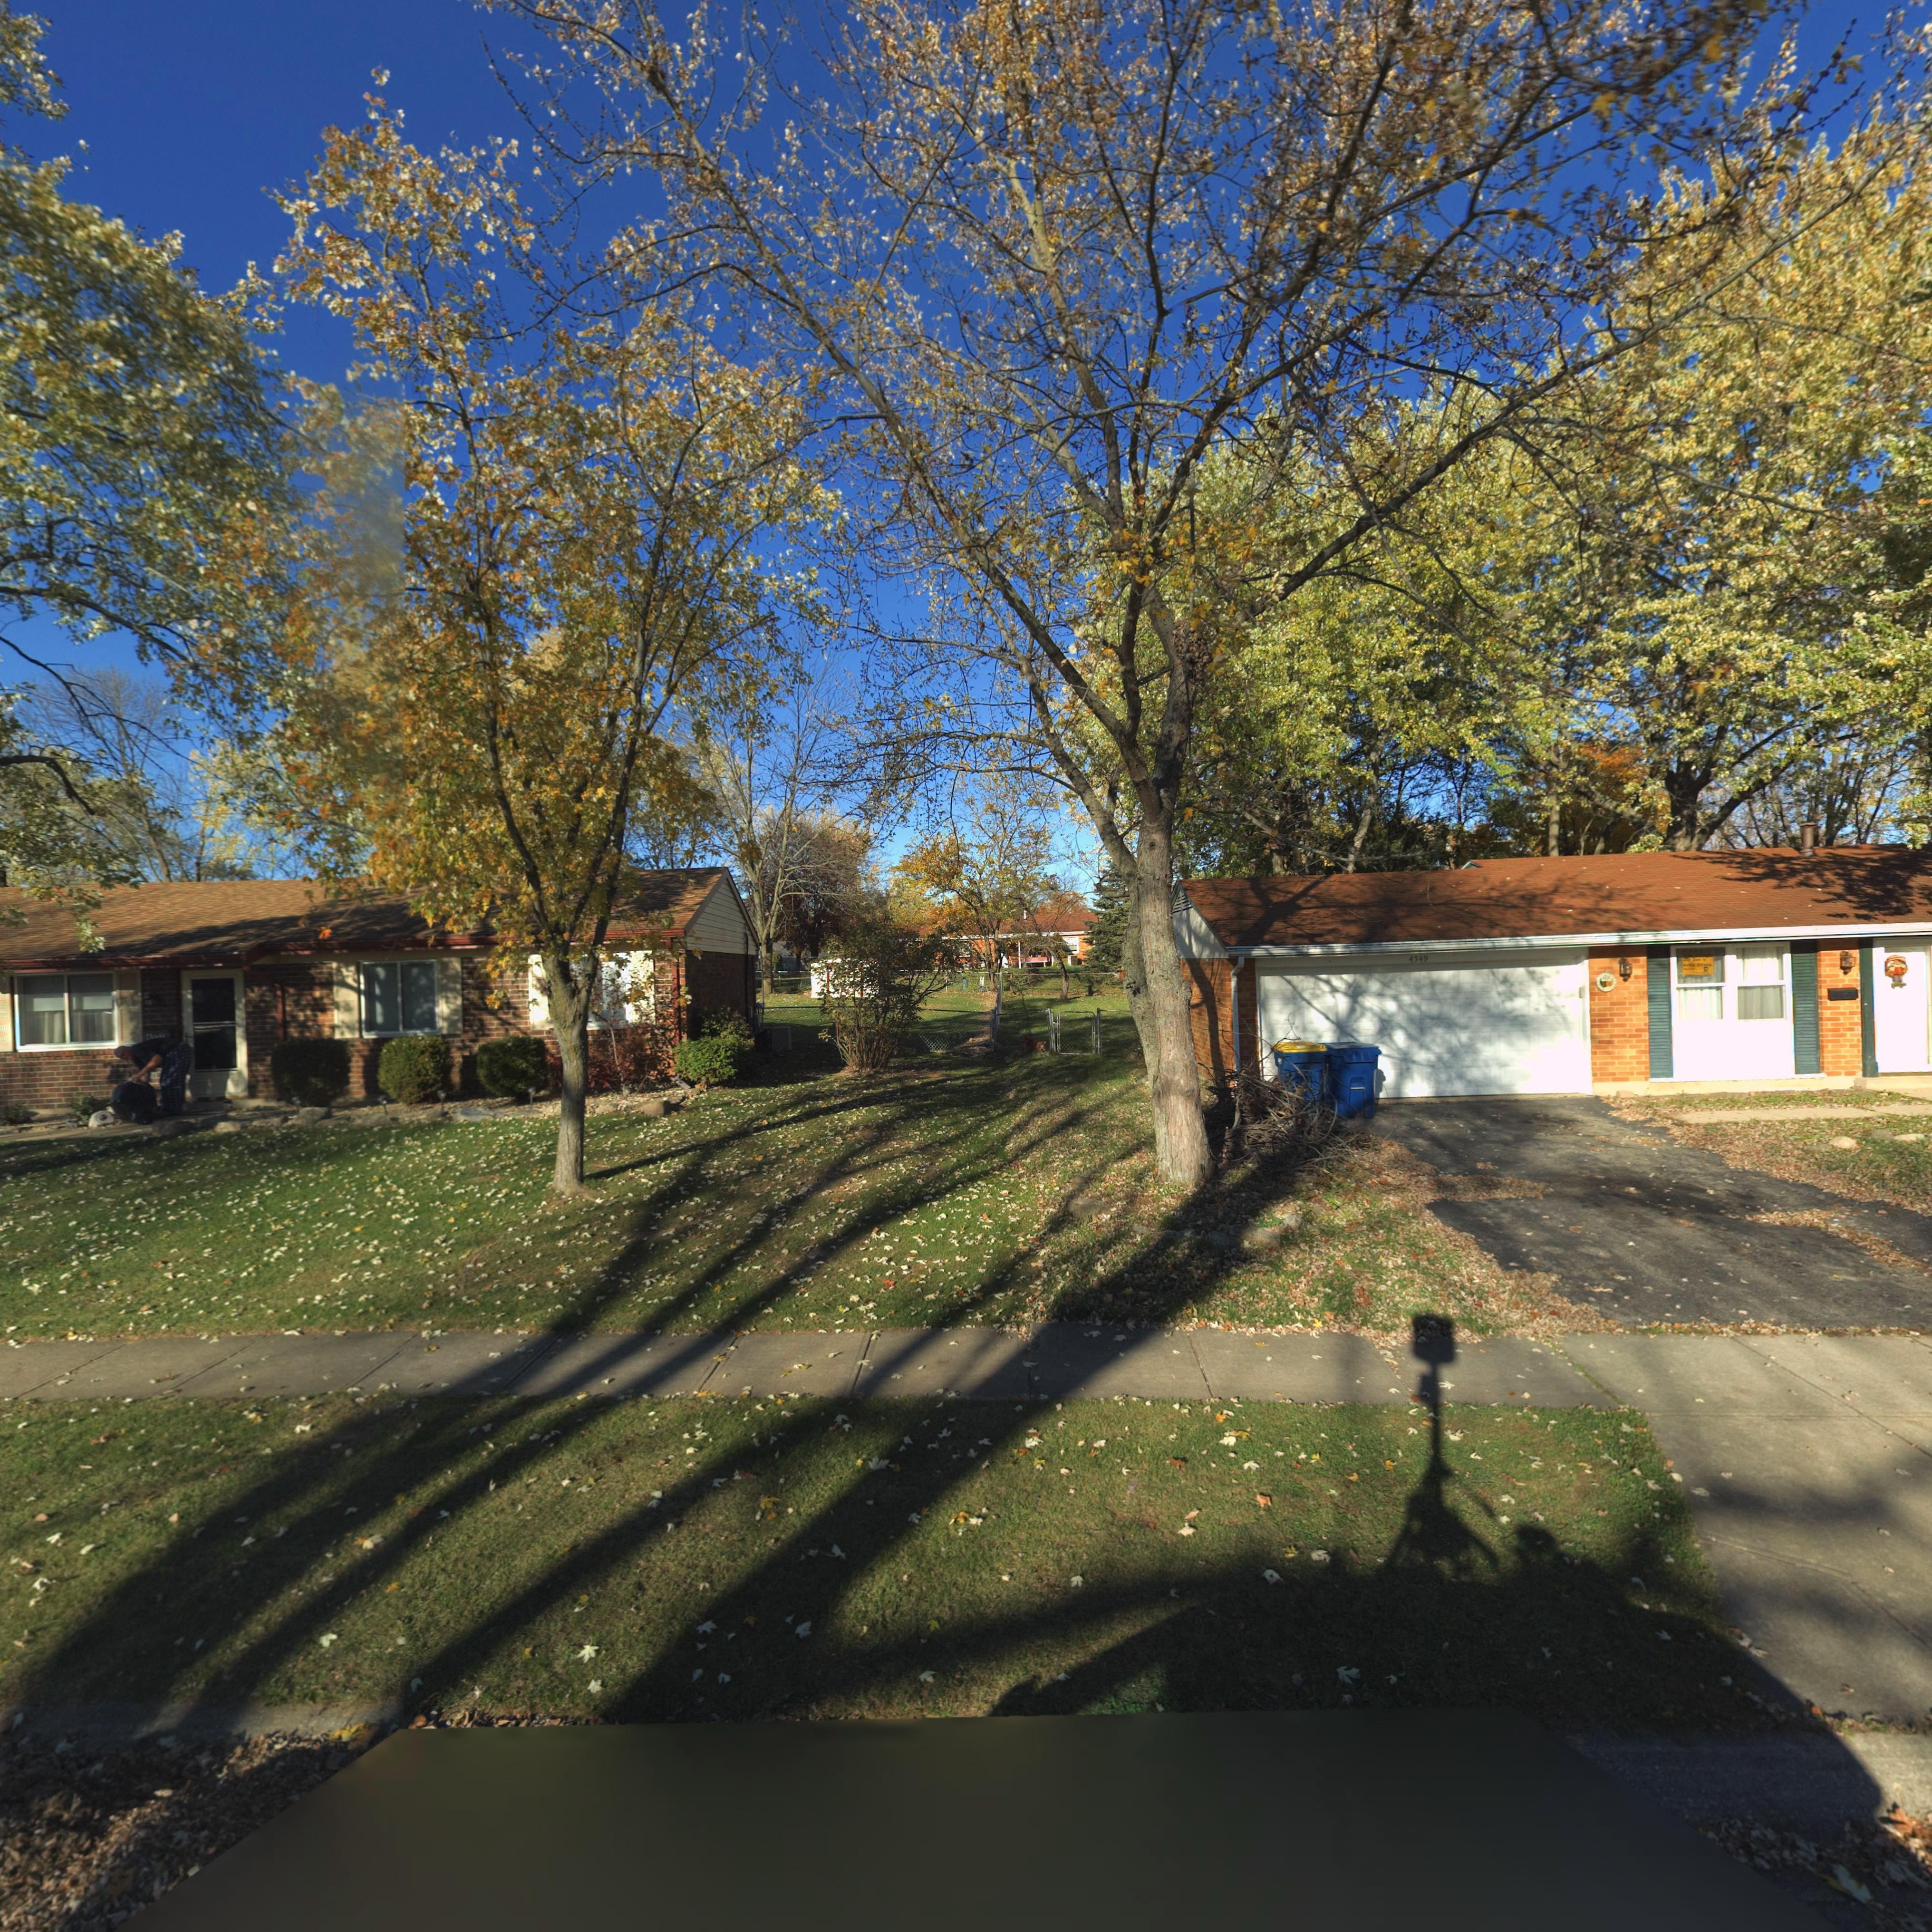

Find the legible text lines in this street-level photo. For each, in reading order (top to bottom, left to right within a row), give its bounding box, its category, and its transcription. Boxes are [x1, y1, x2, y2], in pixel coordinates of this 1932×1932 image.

[1408, 955, 1429, 963] StreetNumber: 4549